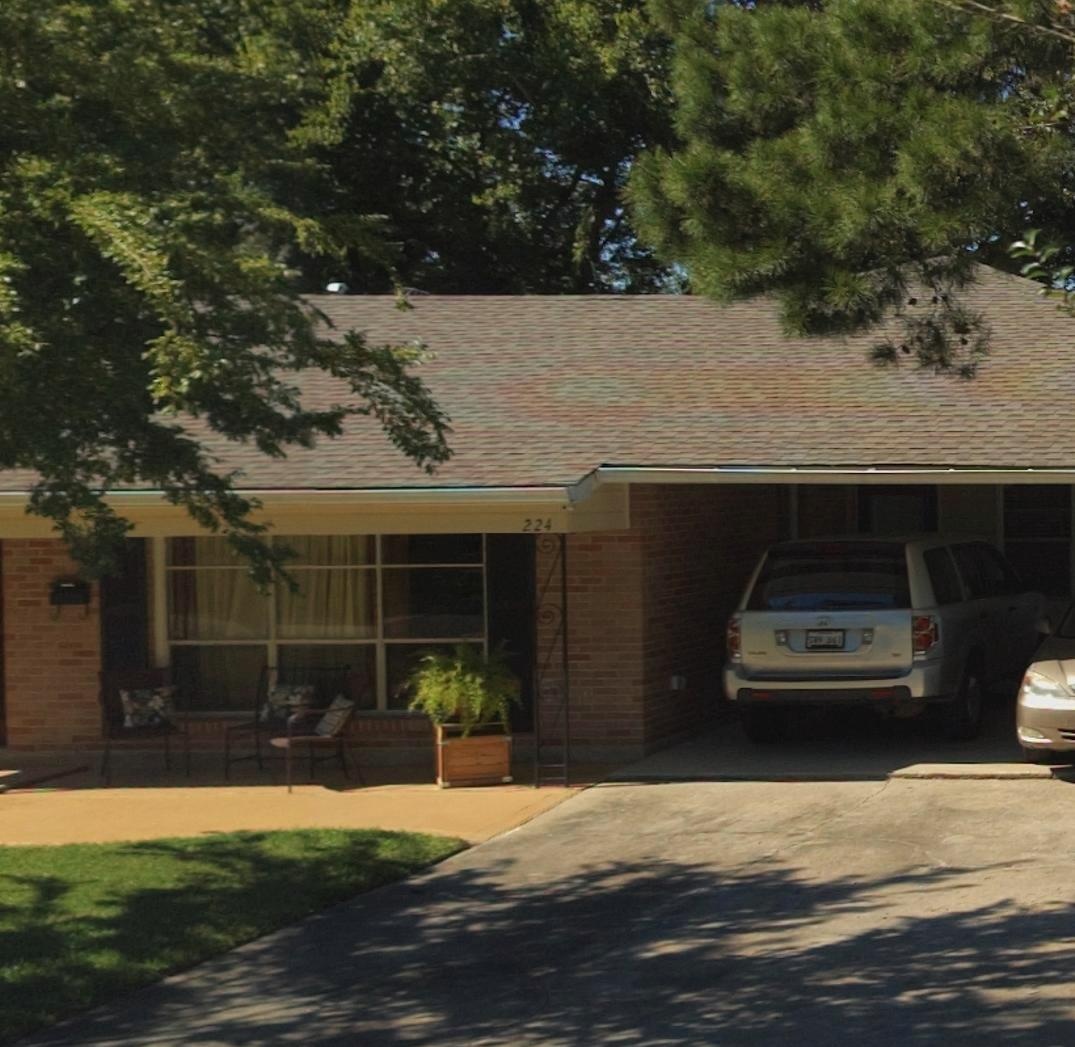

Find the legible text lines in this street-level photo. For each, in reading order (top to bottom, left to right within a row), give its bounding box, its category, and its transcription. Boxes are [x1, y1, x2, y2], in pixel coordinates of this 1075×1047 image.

[520, 516, 554, 534] StreetNumber: 224